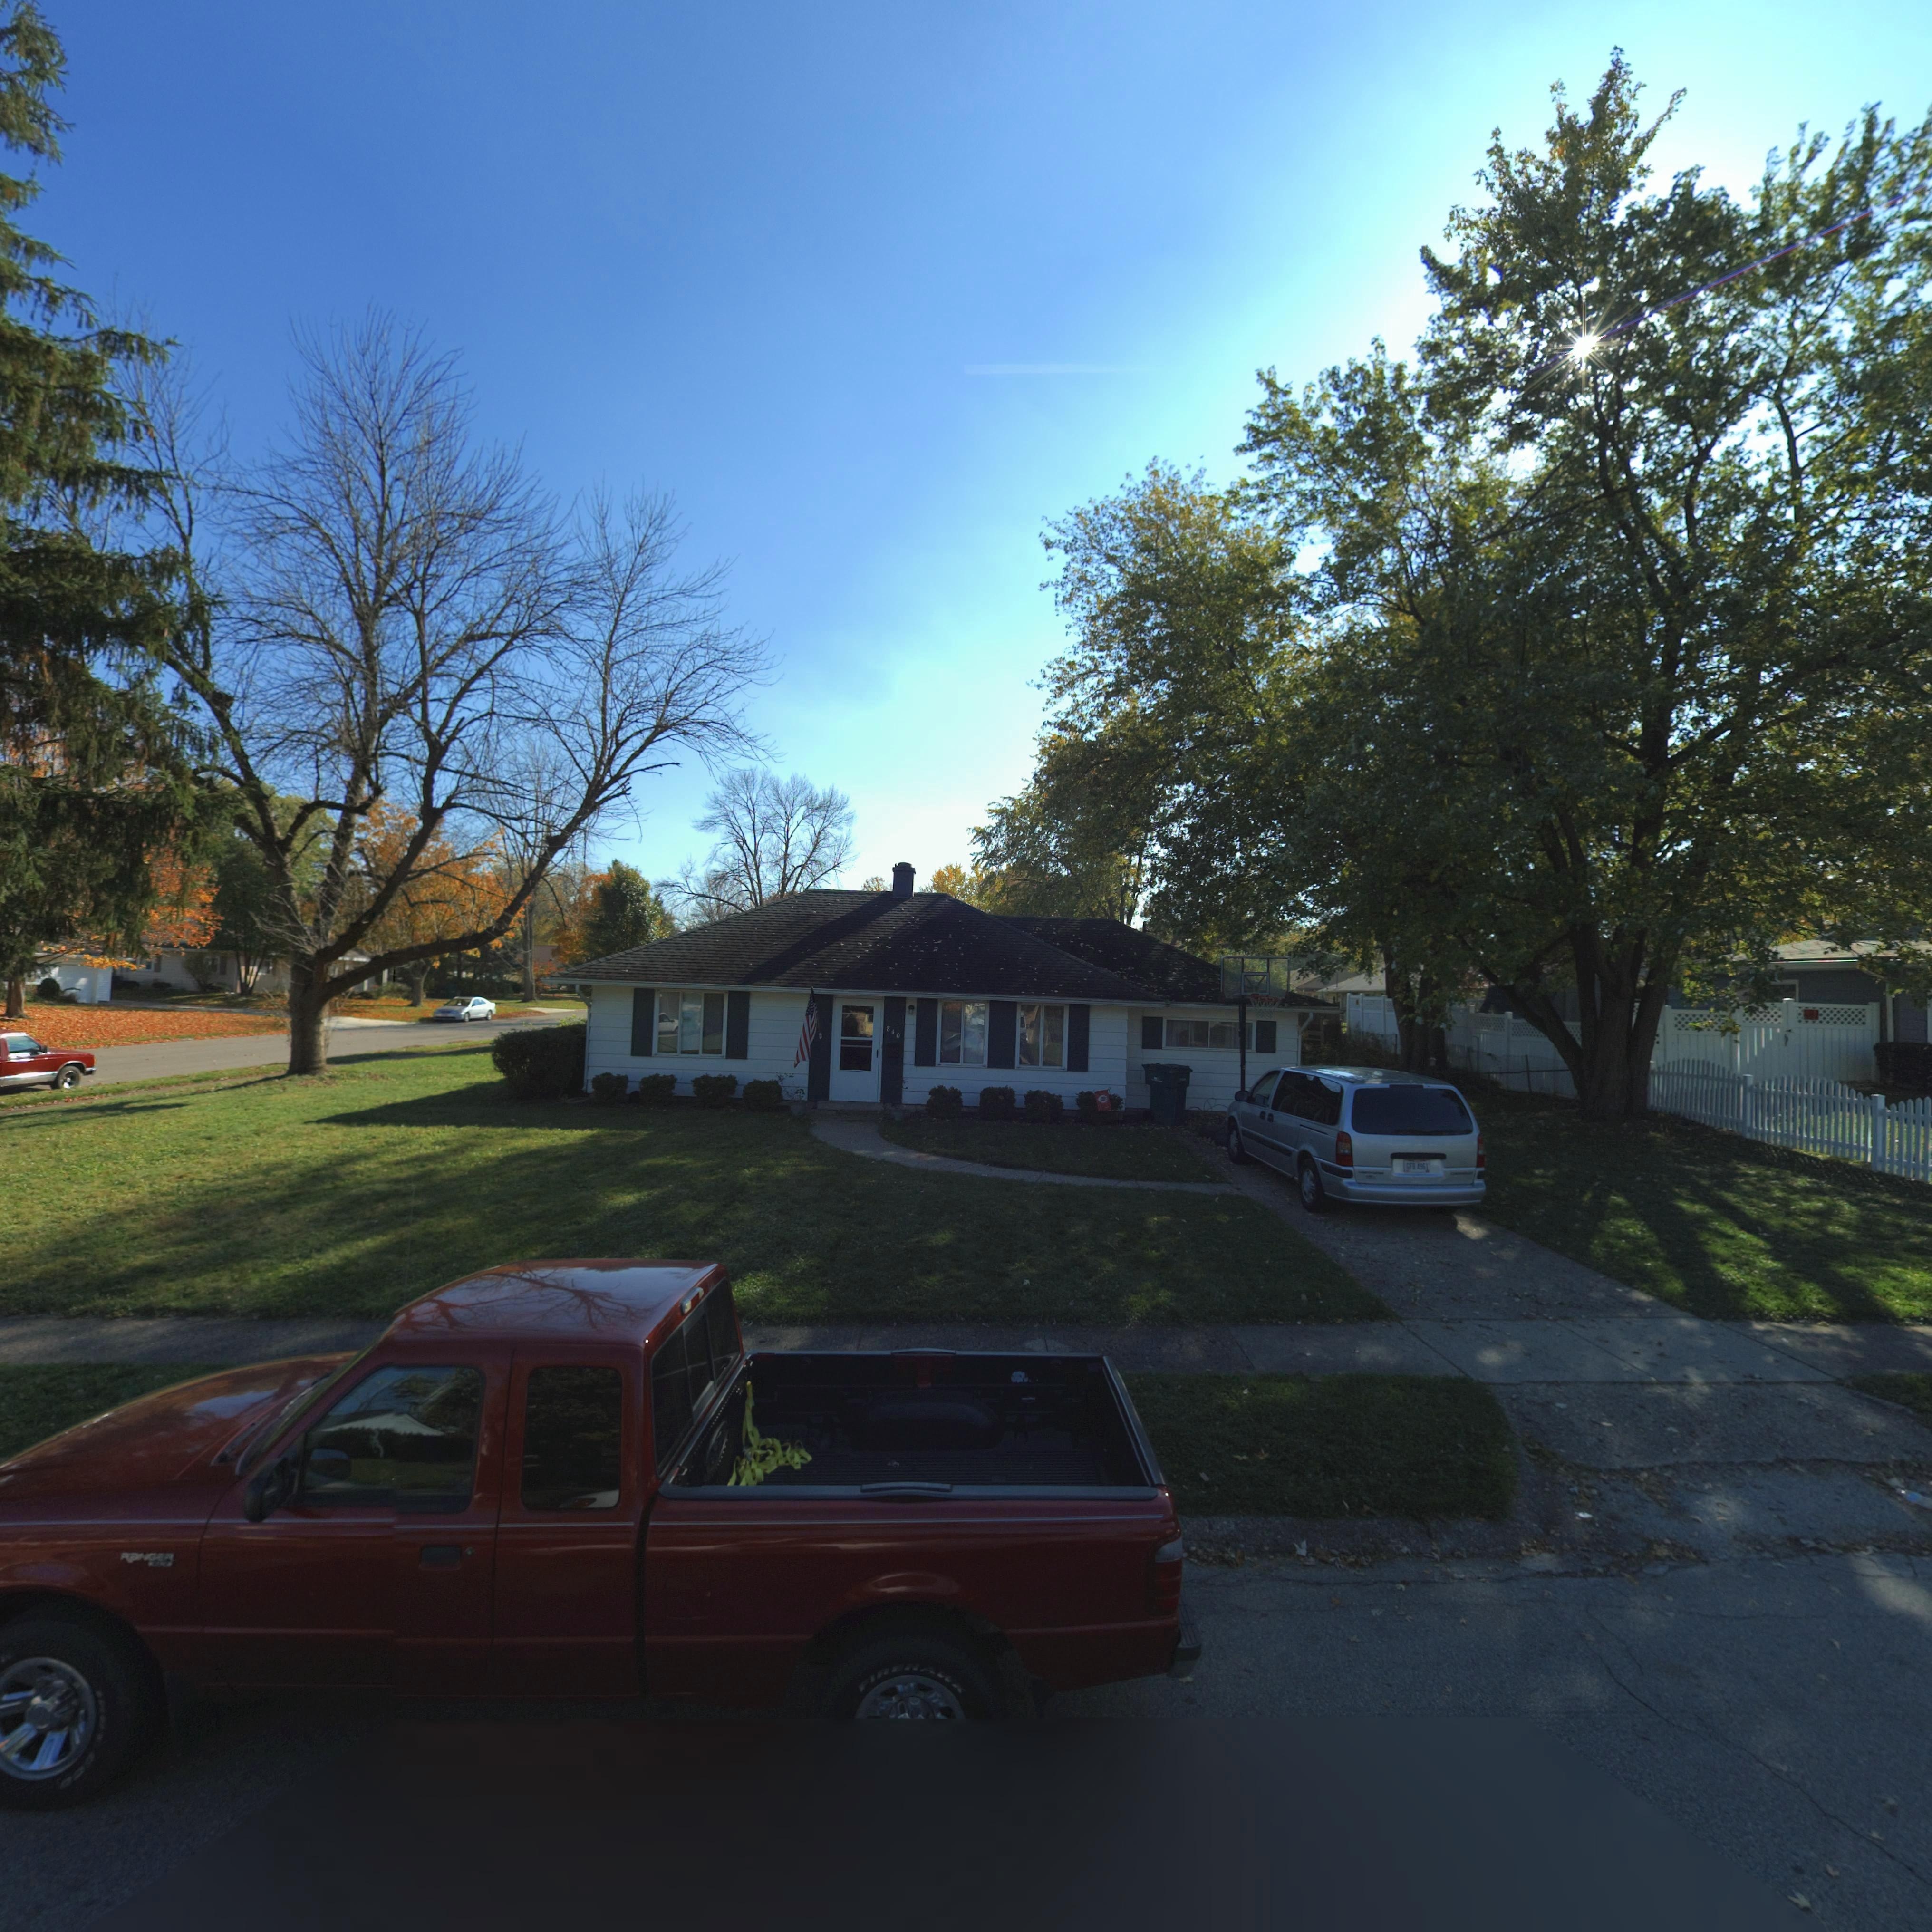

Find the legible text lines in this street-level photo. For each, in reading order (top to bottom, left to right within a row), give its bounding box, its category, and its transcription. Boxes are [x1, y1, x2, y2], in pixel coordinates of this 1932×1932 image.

[886, 1025, 900, 1039] StreetNumber: 840
[1406, 1162, 1429, 1169] None: GFB 4951